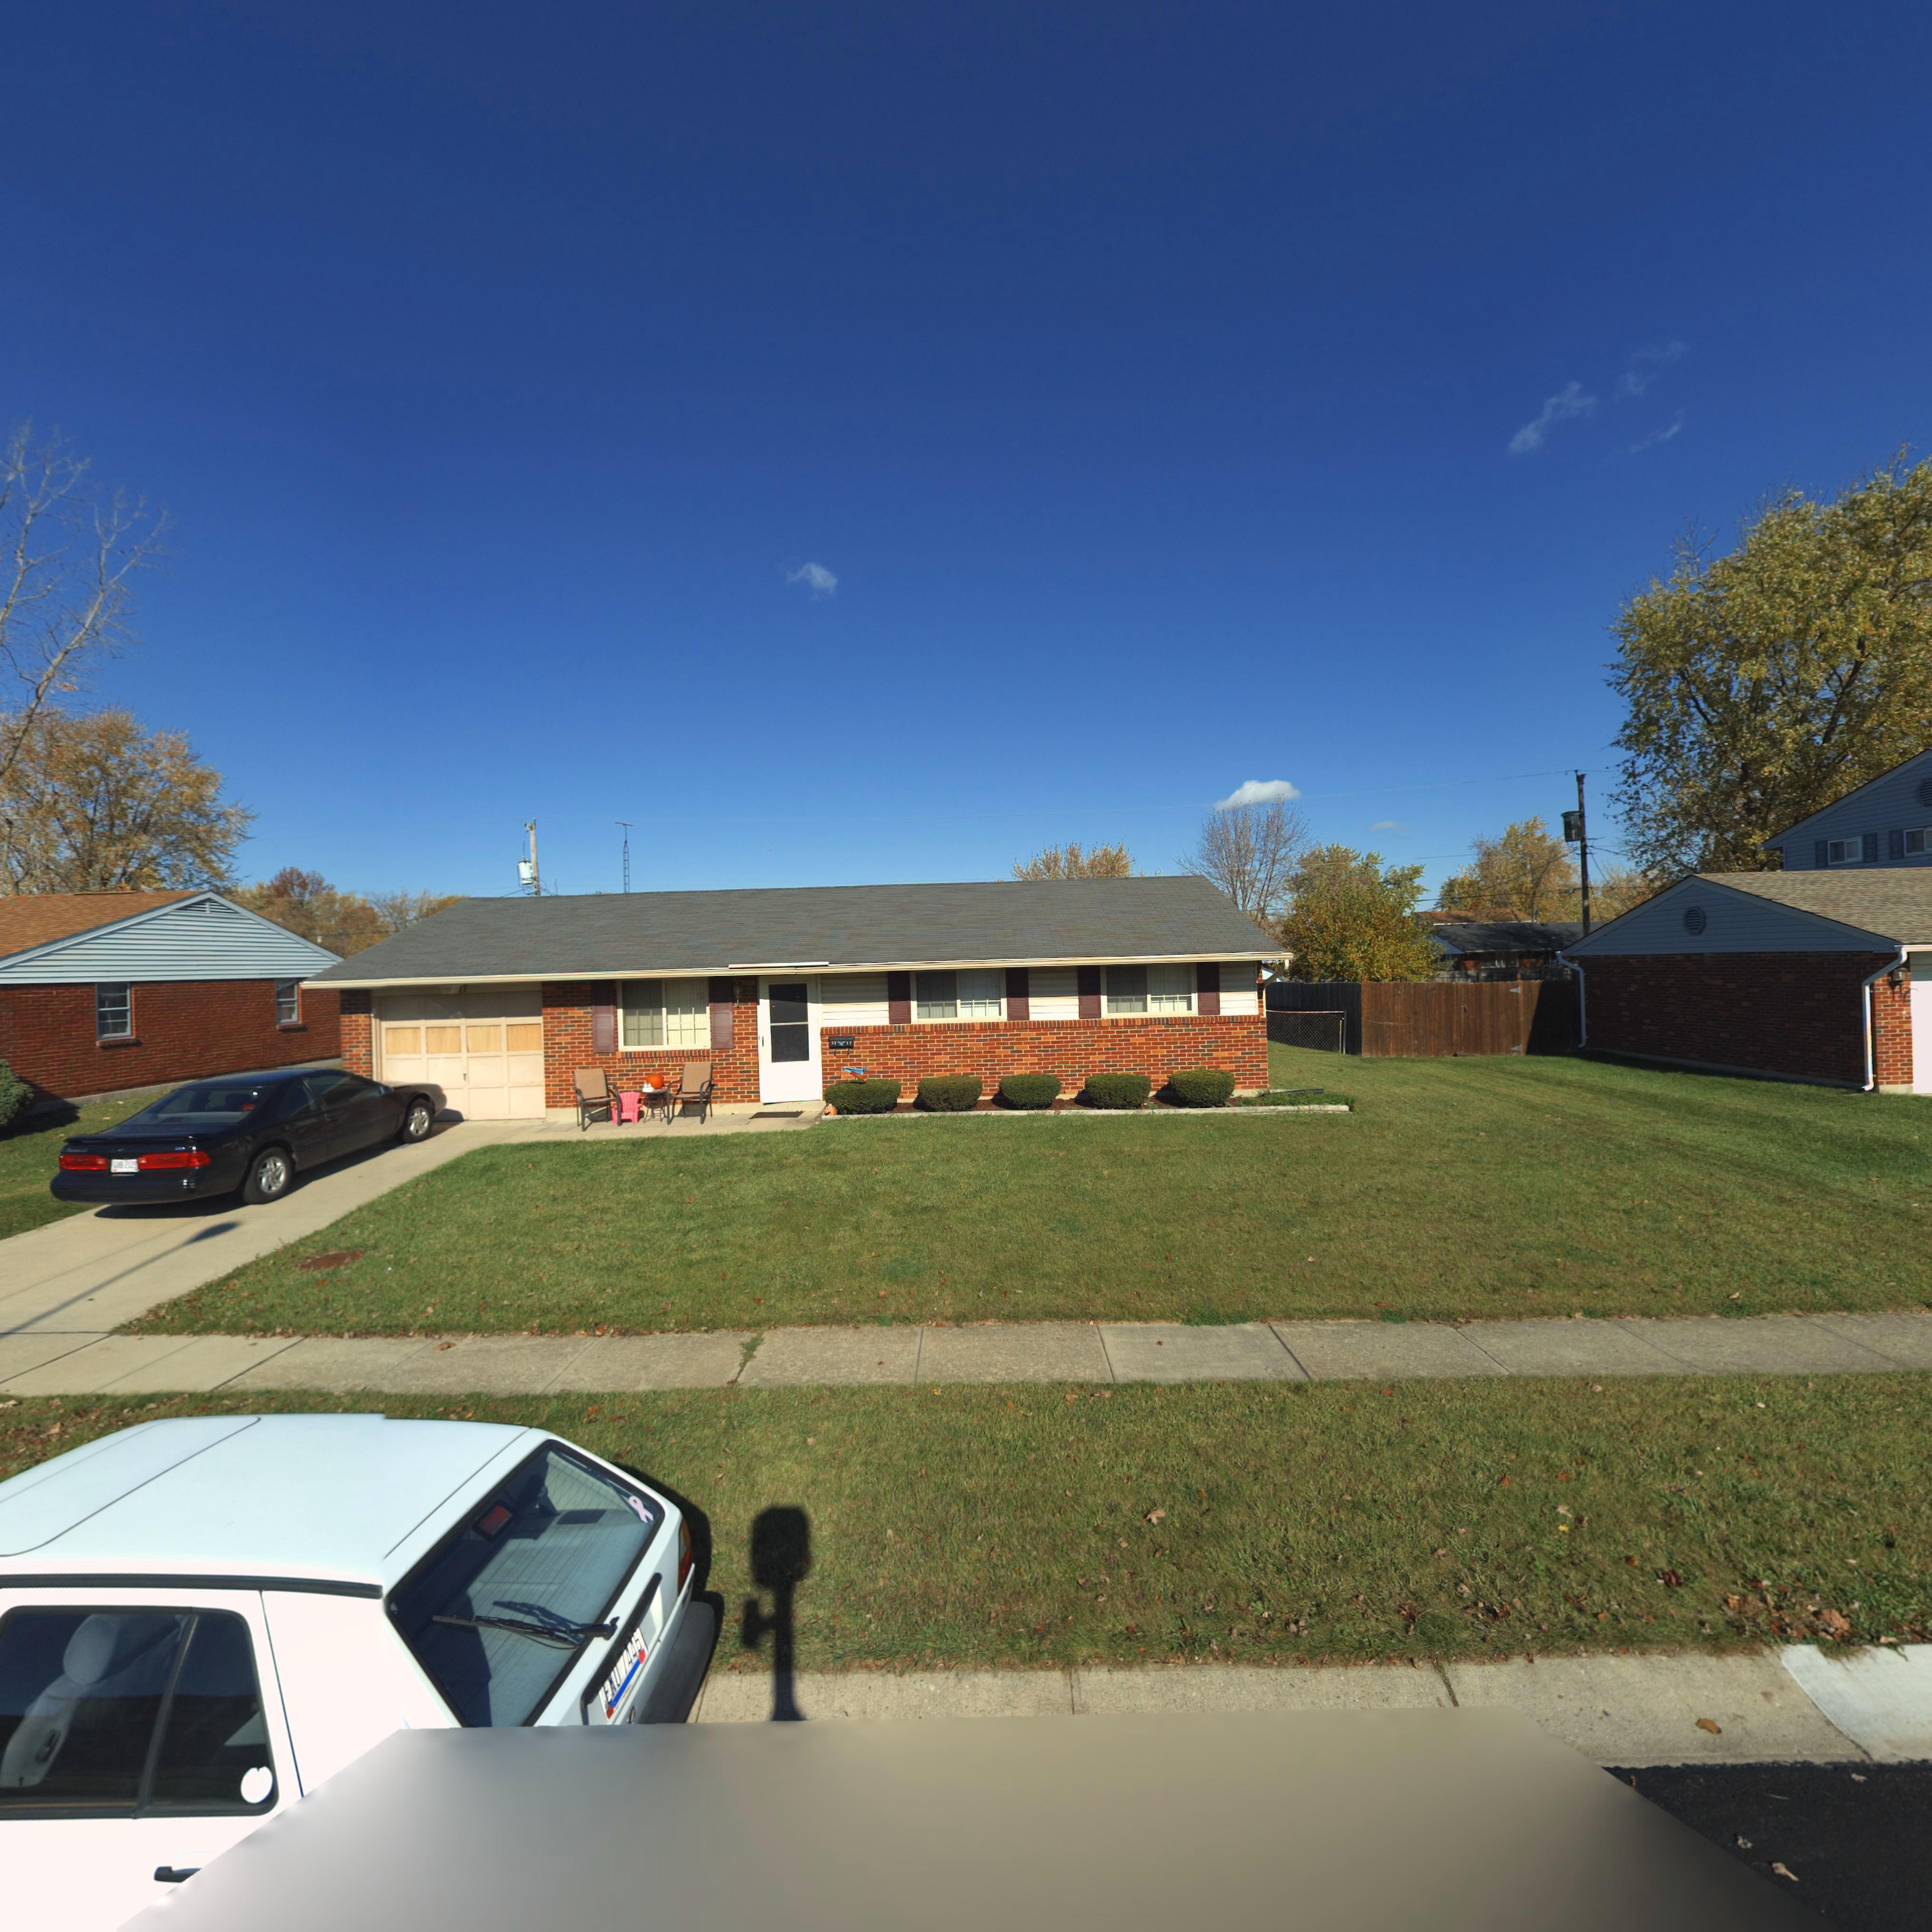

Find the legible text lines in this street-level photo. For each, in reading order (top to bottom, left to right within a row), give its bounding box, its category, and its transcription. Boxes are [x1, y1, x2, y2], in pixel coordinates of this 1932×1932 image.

[460, 983, 469, 994] StreetNumber: 7